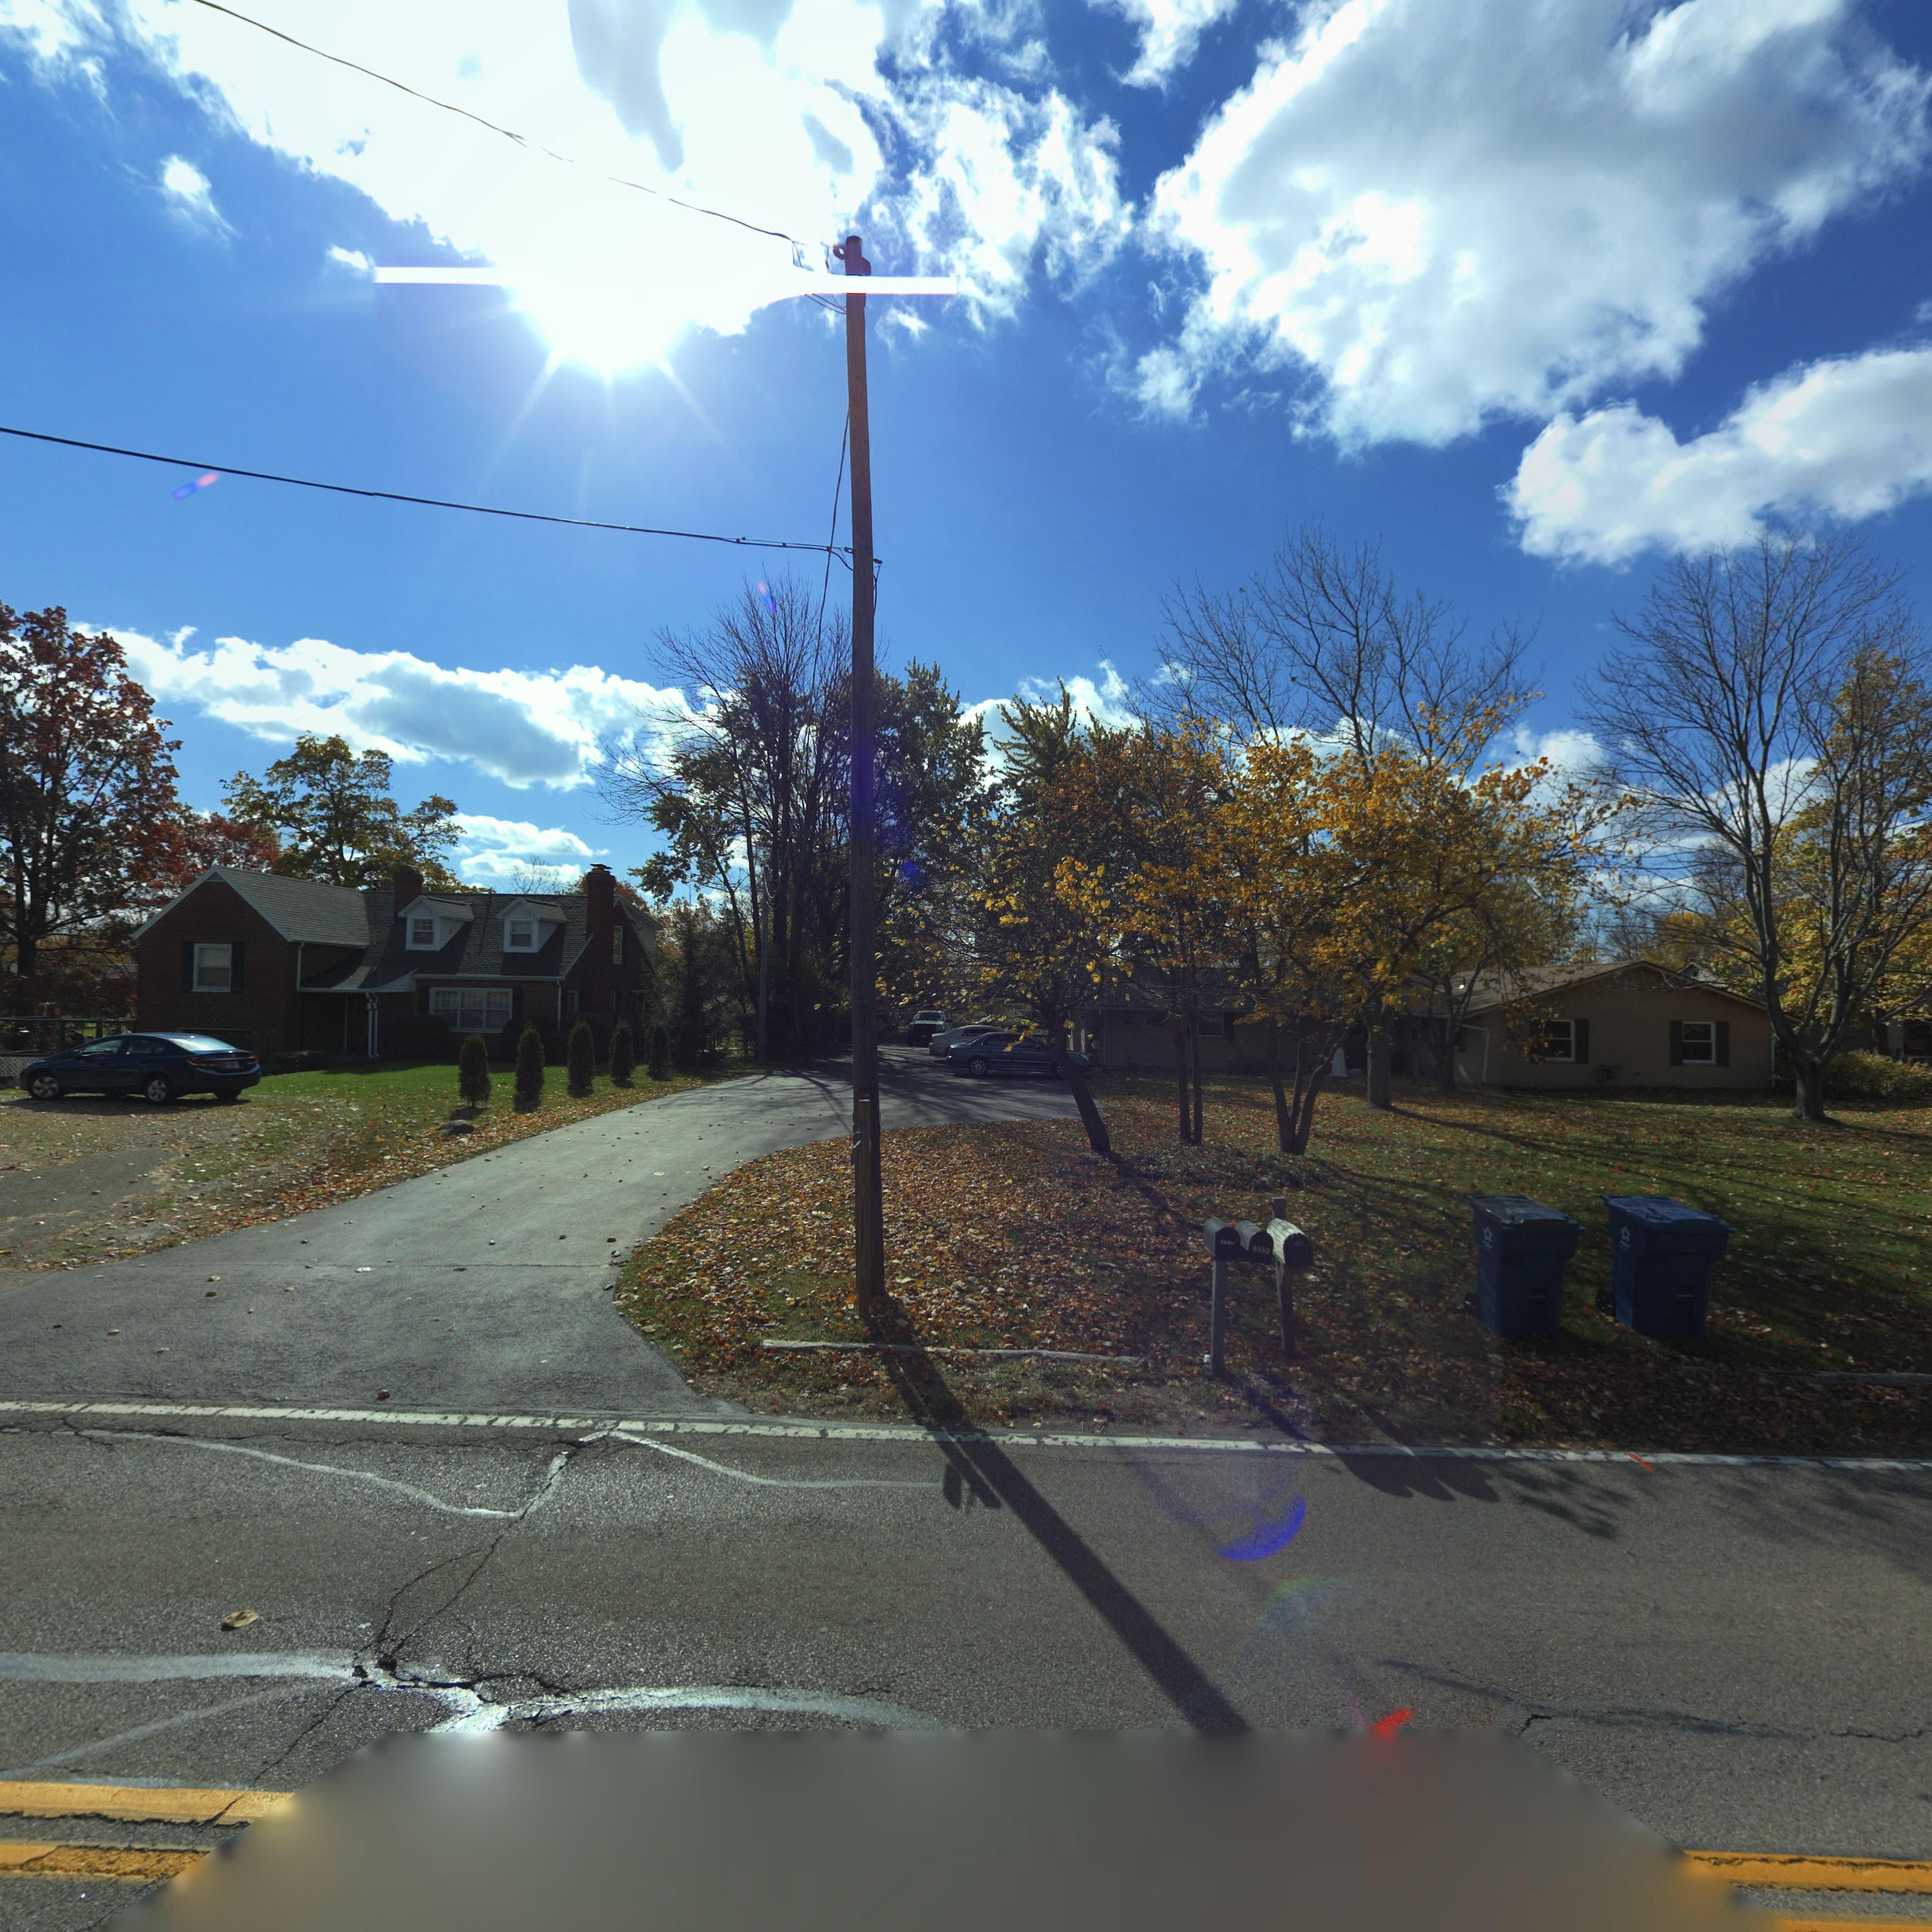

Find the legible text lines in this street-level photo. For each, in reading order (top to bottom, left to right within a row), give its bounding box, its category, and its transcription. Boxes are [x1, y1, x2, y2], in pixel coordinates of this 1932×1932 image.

[1252, 1245, 1271, 1256] StreetNumber: 6553